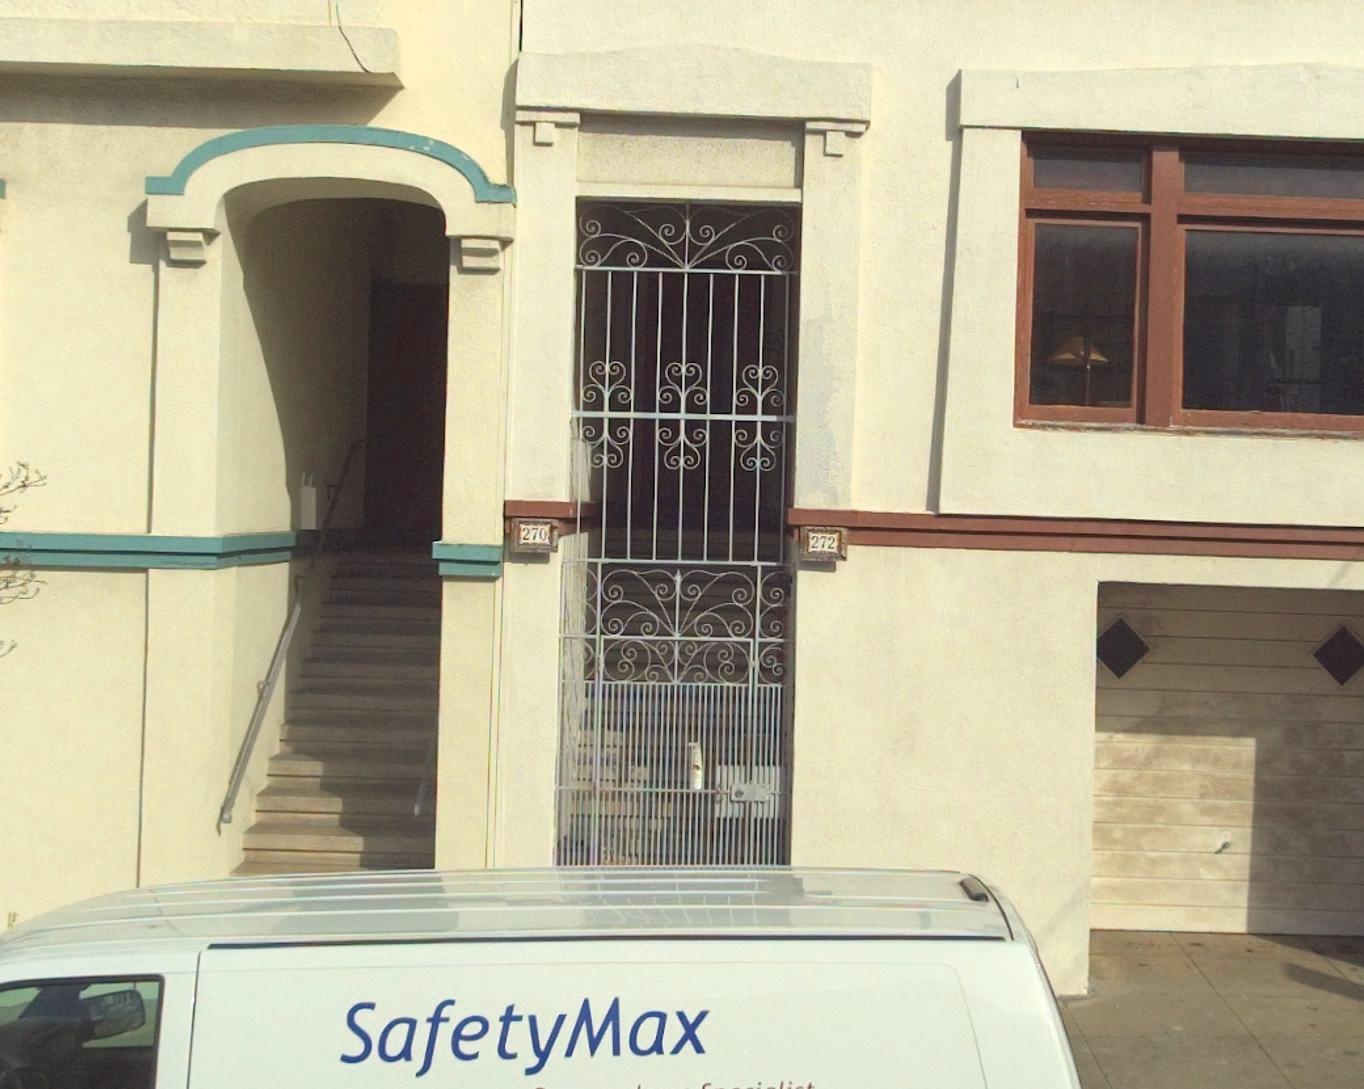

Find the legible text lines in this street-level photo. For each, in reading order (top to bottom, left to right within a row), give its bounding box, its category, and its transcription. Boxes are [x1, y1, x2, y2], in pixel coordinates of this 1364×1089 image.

[521, 526, 548, 542] StreetNumber: 270
[810, 534, 836, 550] StreetNumber: 272
[337, 995, 713, 1080] None: SafetyMax